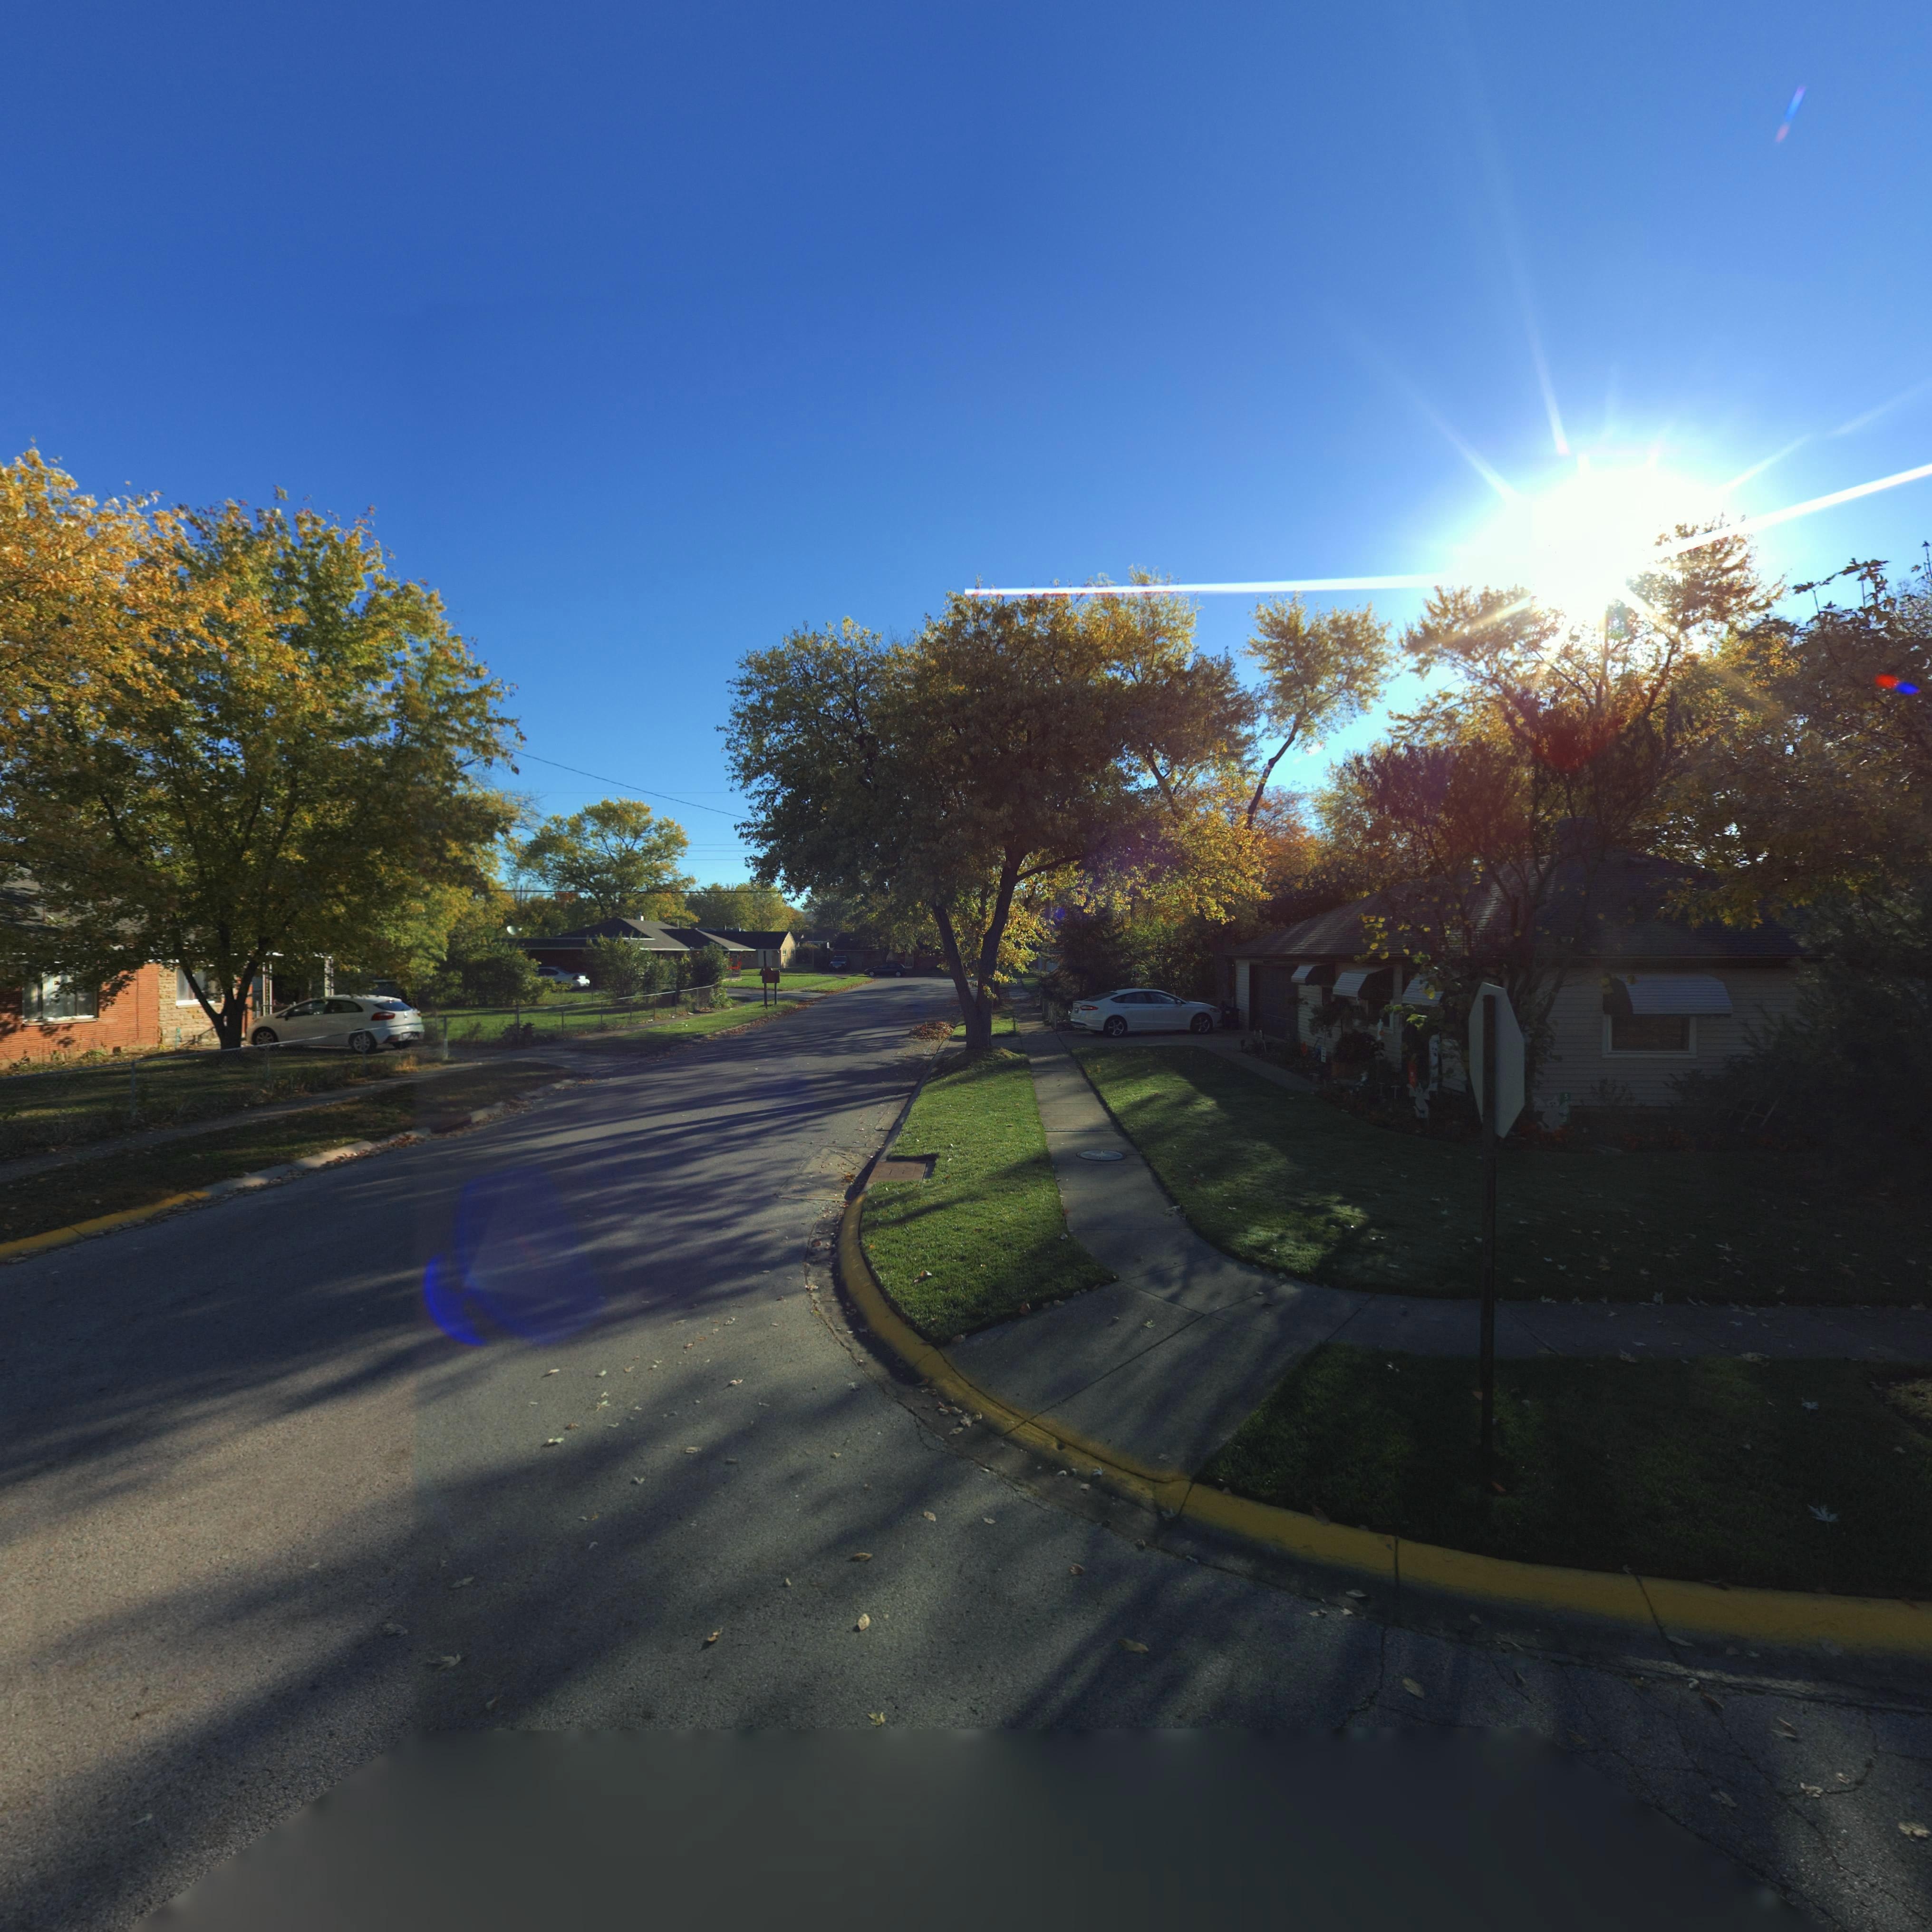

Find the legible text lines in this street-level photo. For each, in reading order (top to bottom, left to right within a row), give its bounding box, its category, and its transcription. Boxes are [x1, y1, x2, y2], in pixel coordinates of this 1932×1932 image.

[1561, 1093, 1569, 1123] StreetNumber: 5100